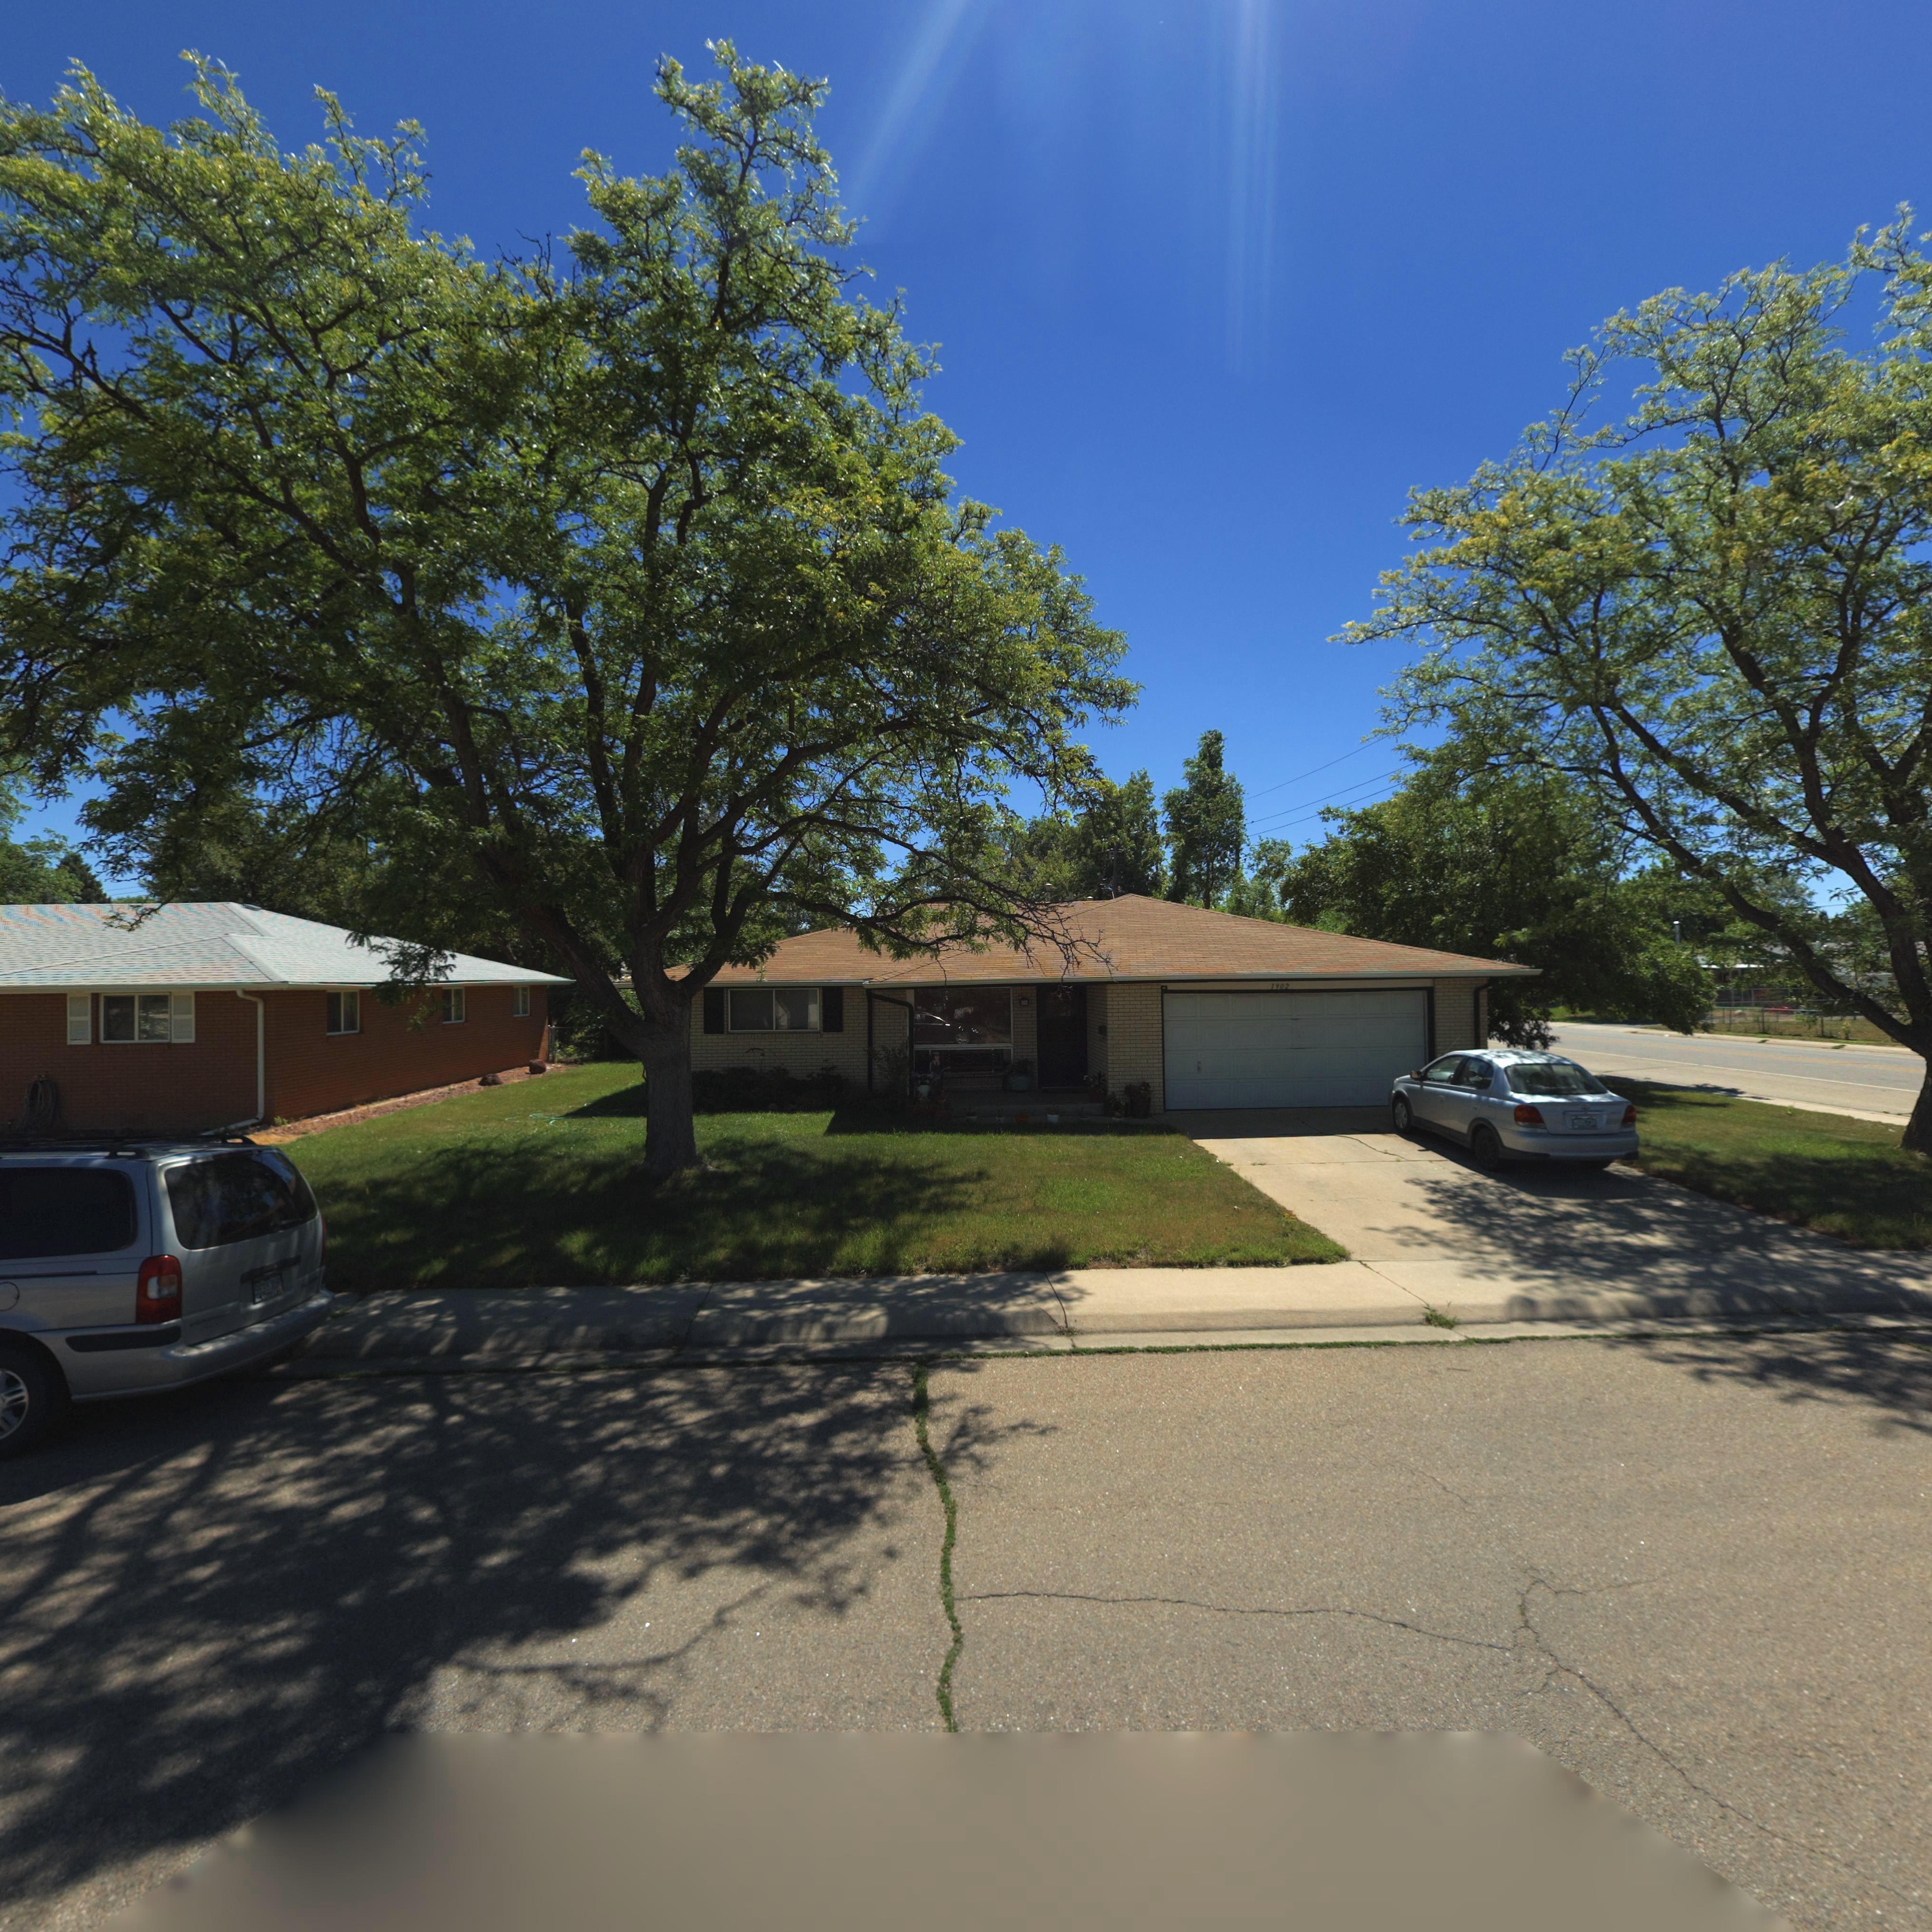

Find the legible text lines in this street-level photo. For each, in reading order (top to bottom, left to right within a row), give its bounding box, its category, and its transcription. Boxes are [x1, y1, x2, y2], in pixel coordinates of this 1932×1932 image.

[1270, 982, 1290, 990] StreetNumber: 1902